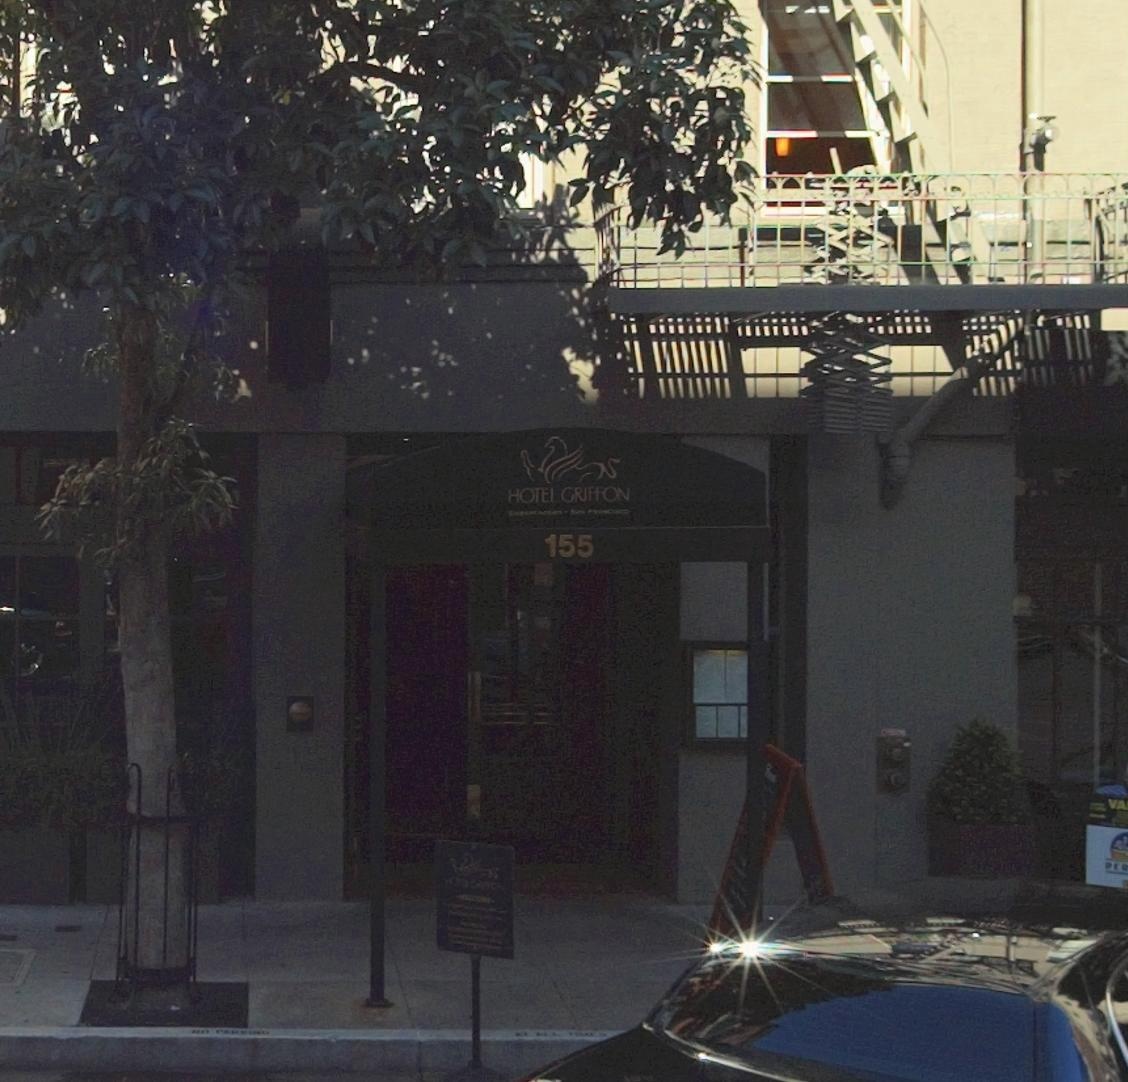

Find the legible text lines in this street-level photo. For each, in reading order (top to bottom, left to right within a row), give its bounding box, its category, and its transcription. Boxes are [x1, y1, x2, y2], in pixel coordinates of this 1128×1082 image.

[506, 485, 632, 505] BusinessName: HOTEL GRIFFON
[543, 532, 596, 559] StreetNumber: 155
[1107, 798, 1127, 811] None: VA